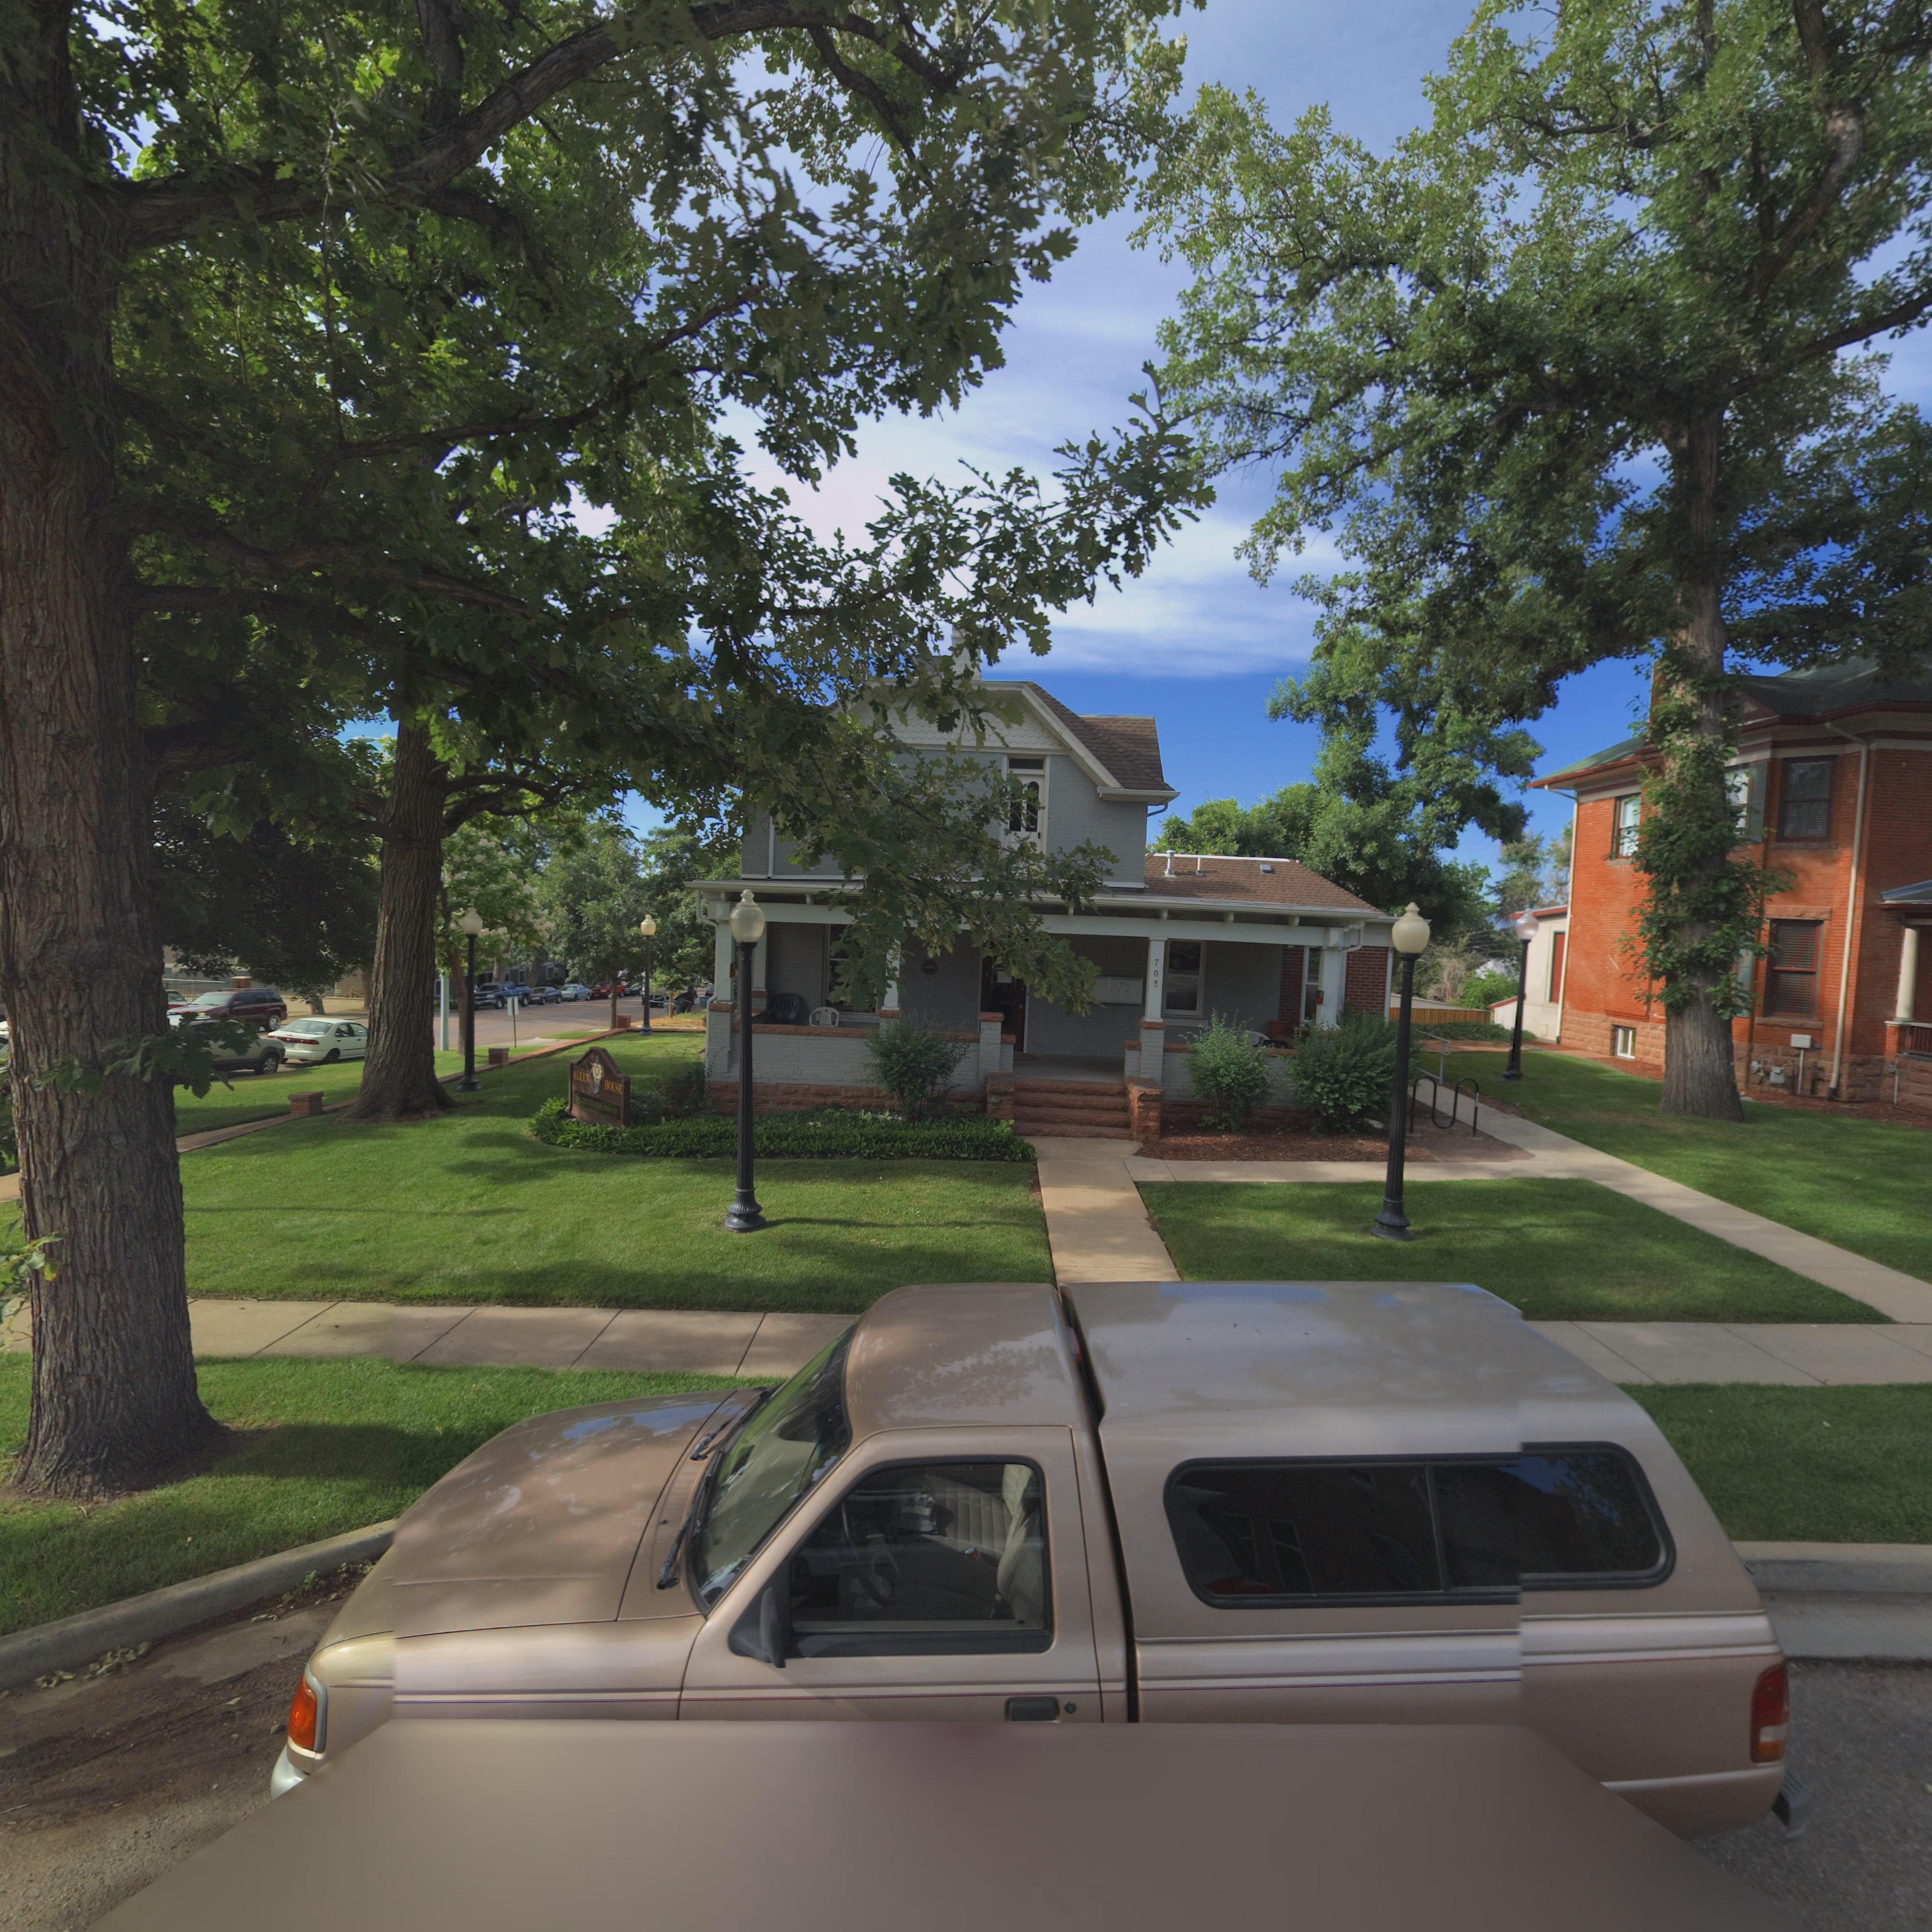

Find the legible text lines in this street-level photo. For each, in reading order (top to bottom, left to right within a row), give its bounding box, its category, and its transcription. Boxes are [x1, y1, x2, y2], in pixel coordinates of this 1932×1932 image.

[1150, 956, 1160, 988] StreetNumber: 703
[571, 1069, 590, 1084] BusinessName: ALLE*S
[604, 1079, 623, 1095] BusinessName: HOUSE
[580, 1096, 619, 1116] BusinessName: CENTER FOR CHANGE